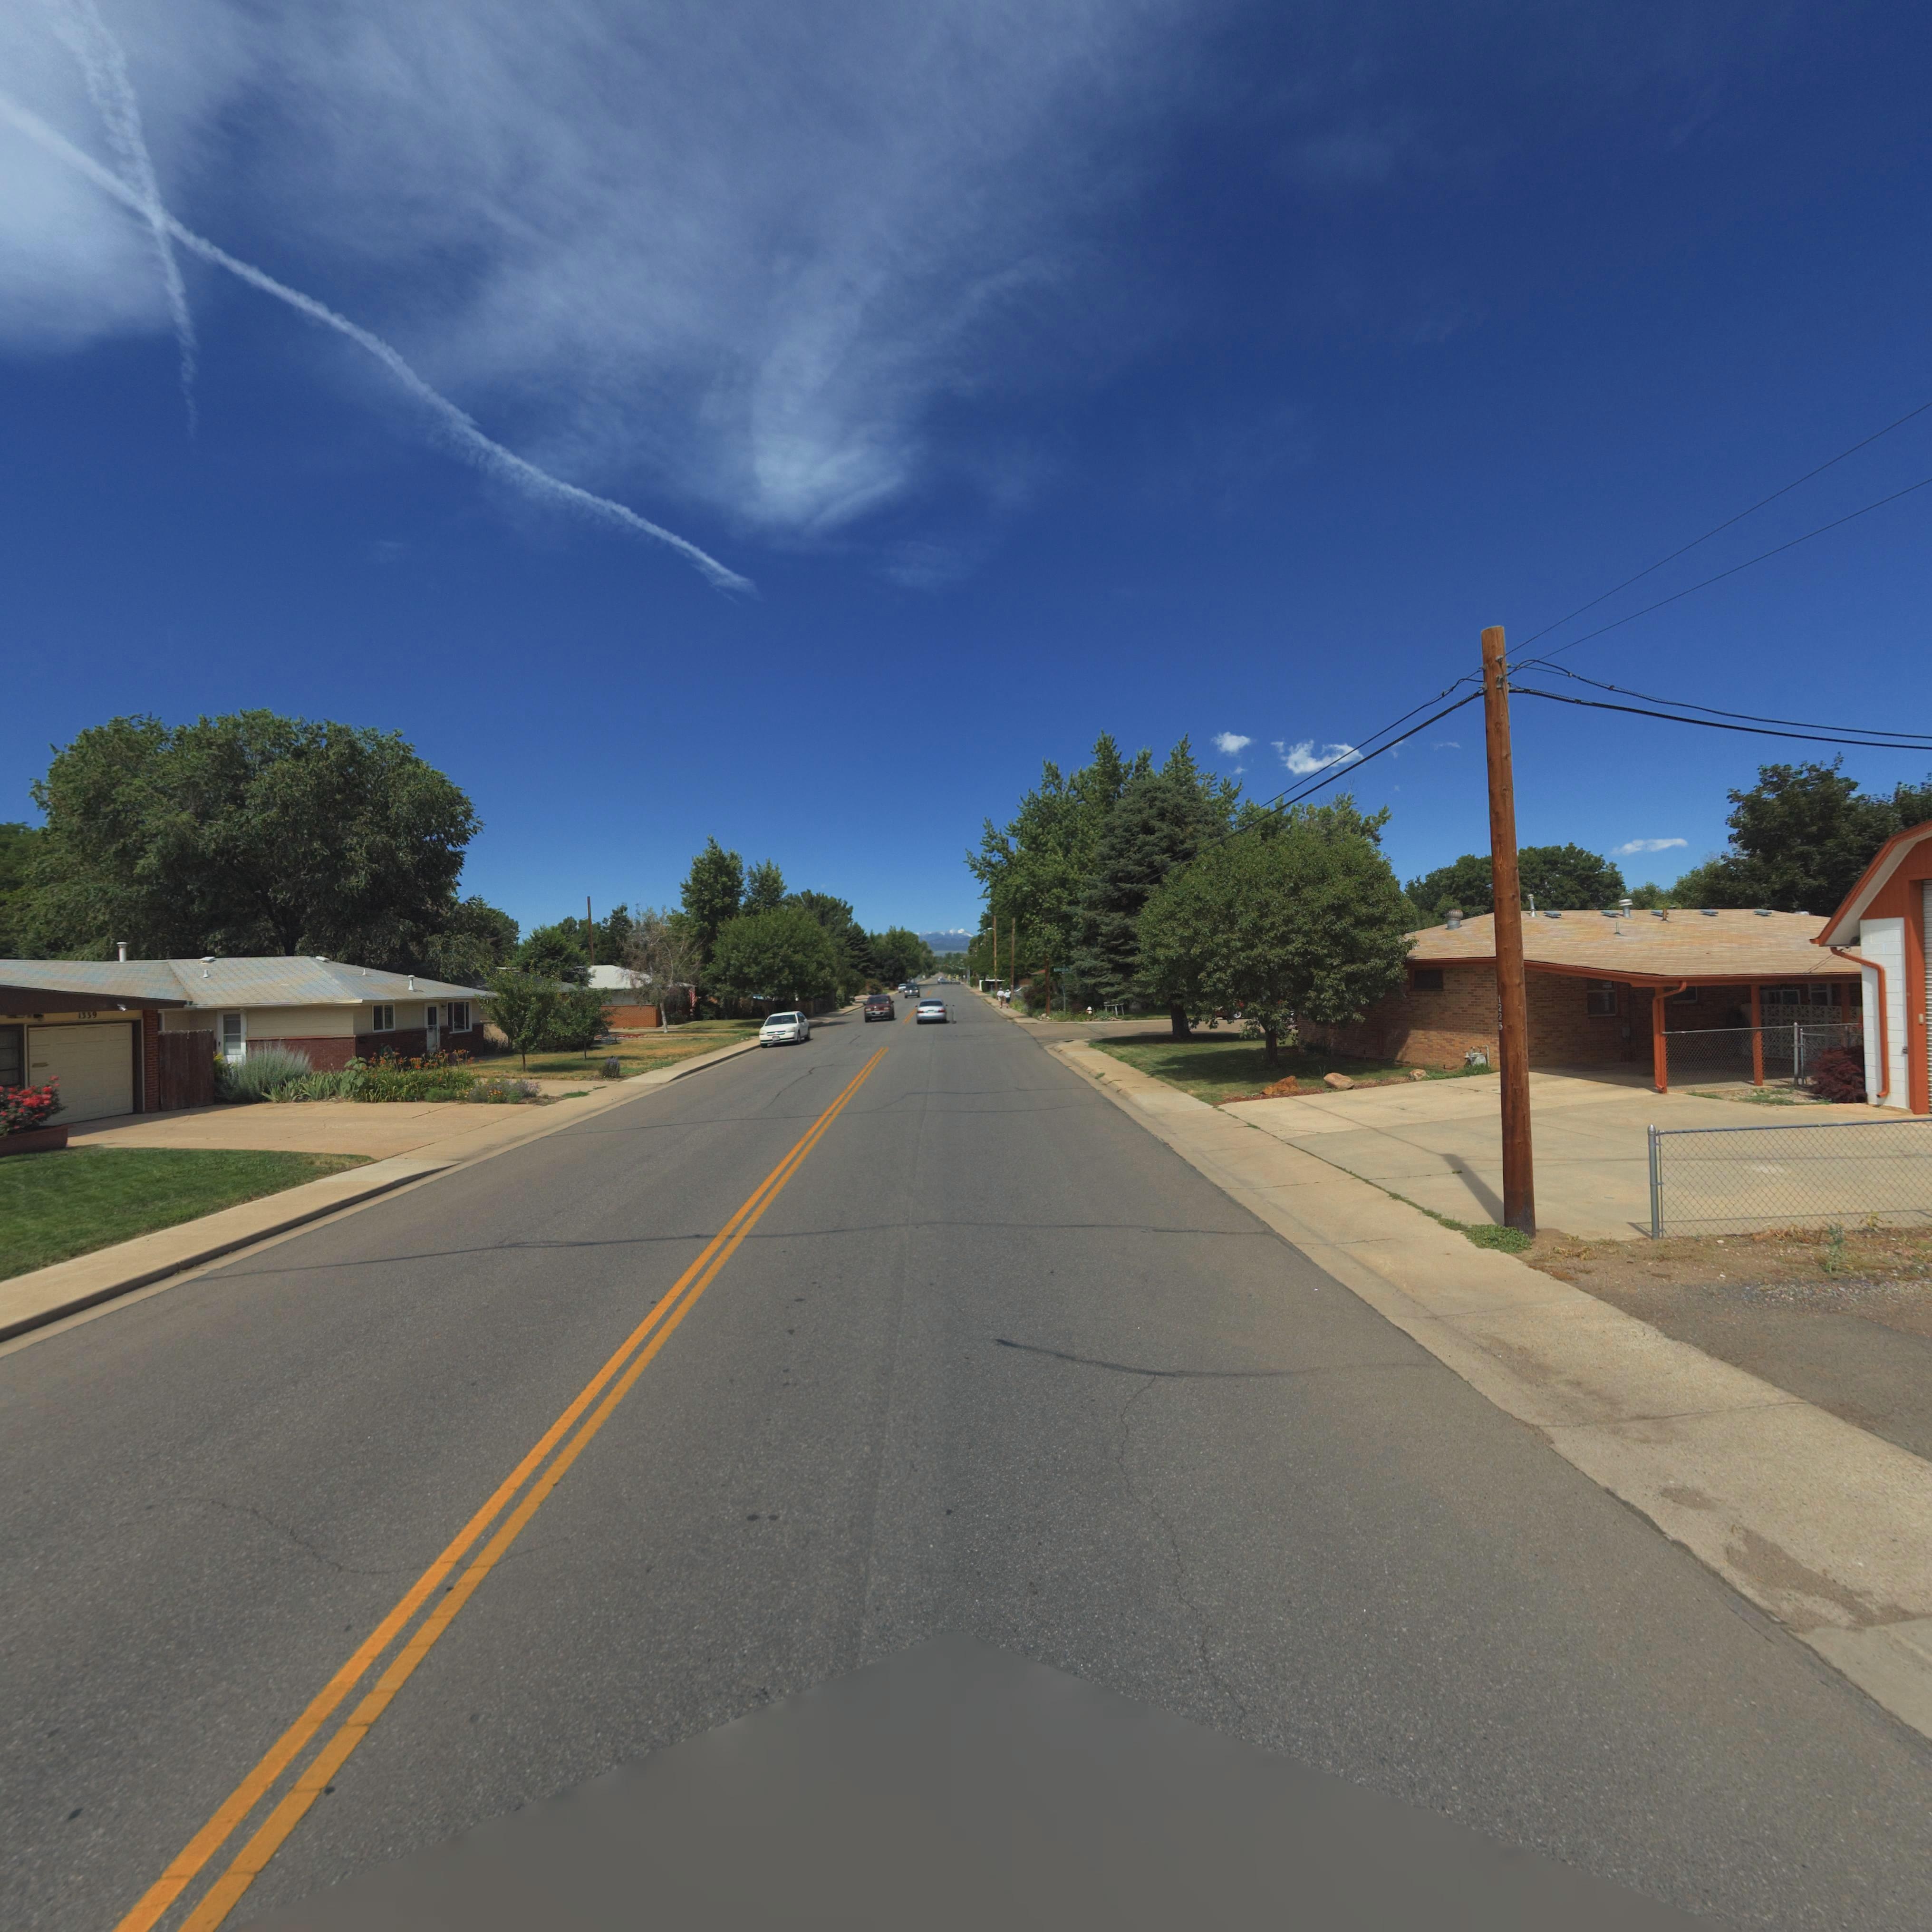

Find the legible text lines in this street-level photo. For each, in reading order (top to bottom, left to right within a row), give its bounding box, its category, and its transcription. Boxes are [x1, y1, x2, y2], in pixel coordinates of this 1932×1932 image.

[1053, 967, 1069, 971] StreetName: E*C***
[77, 1011, 97, 1019] StreetNumber: 1359
[1497, 994, 1503, 1031] StreetNumber: 1225